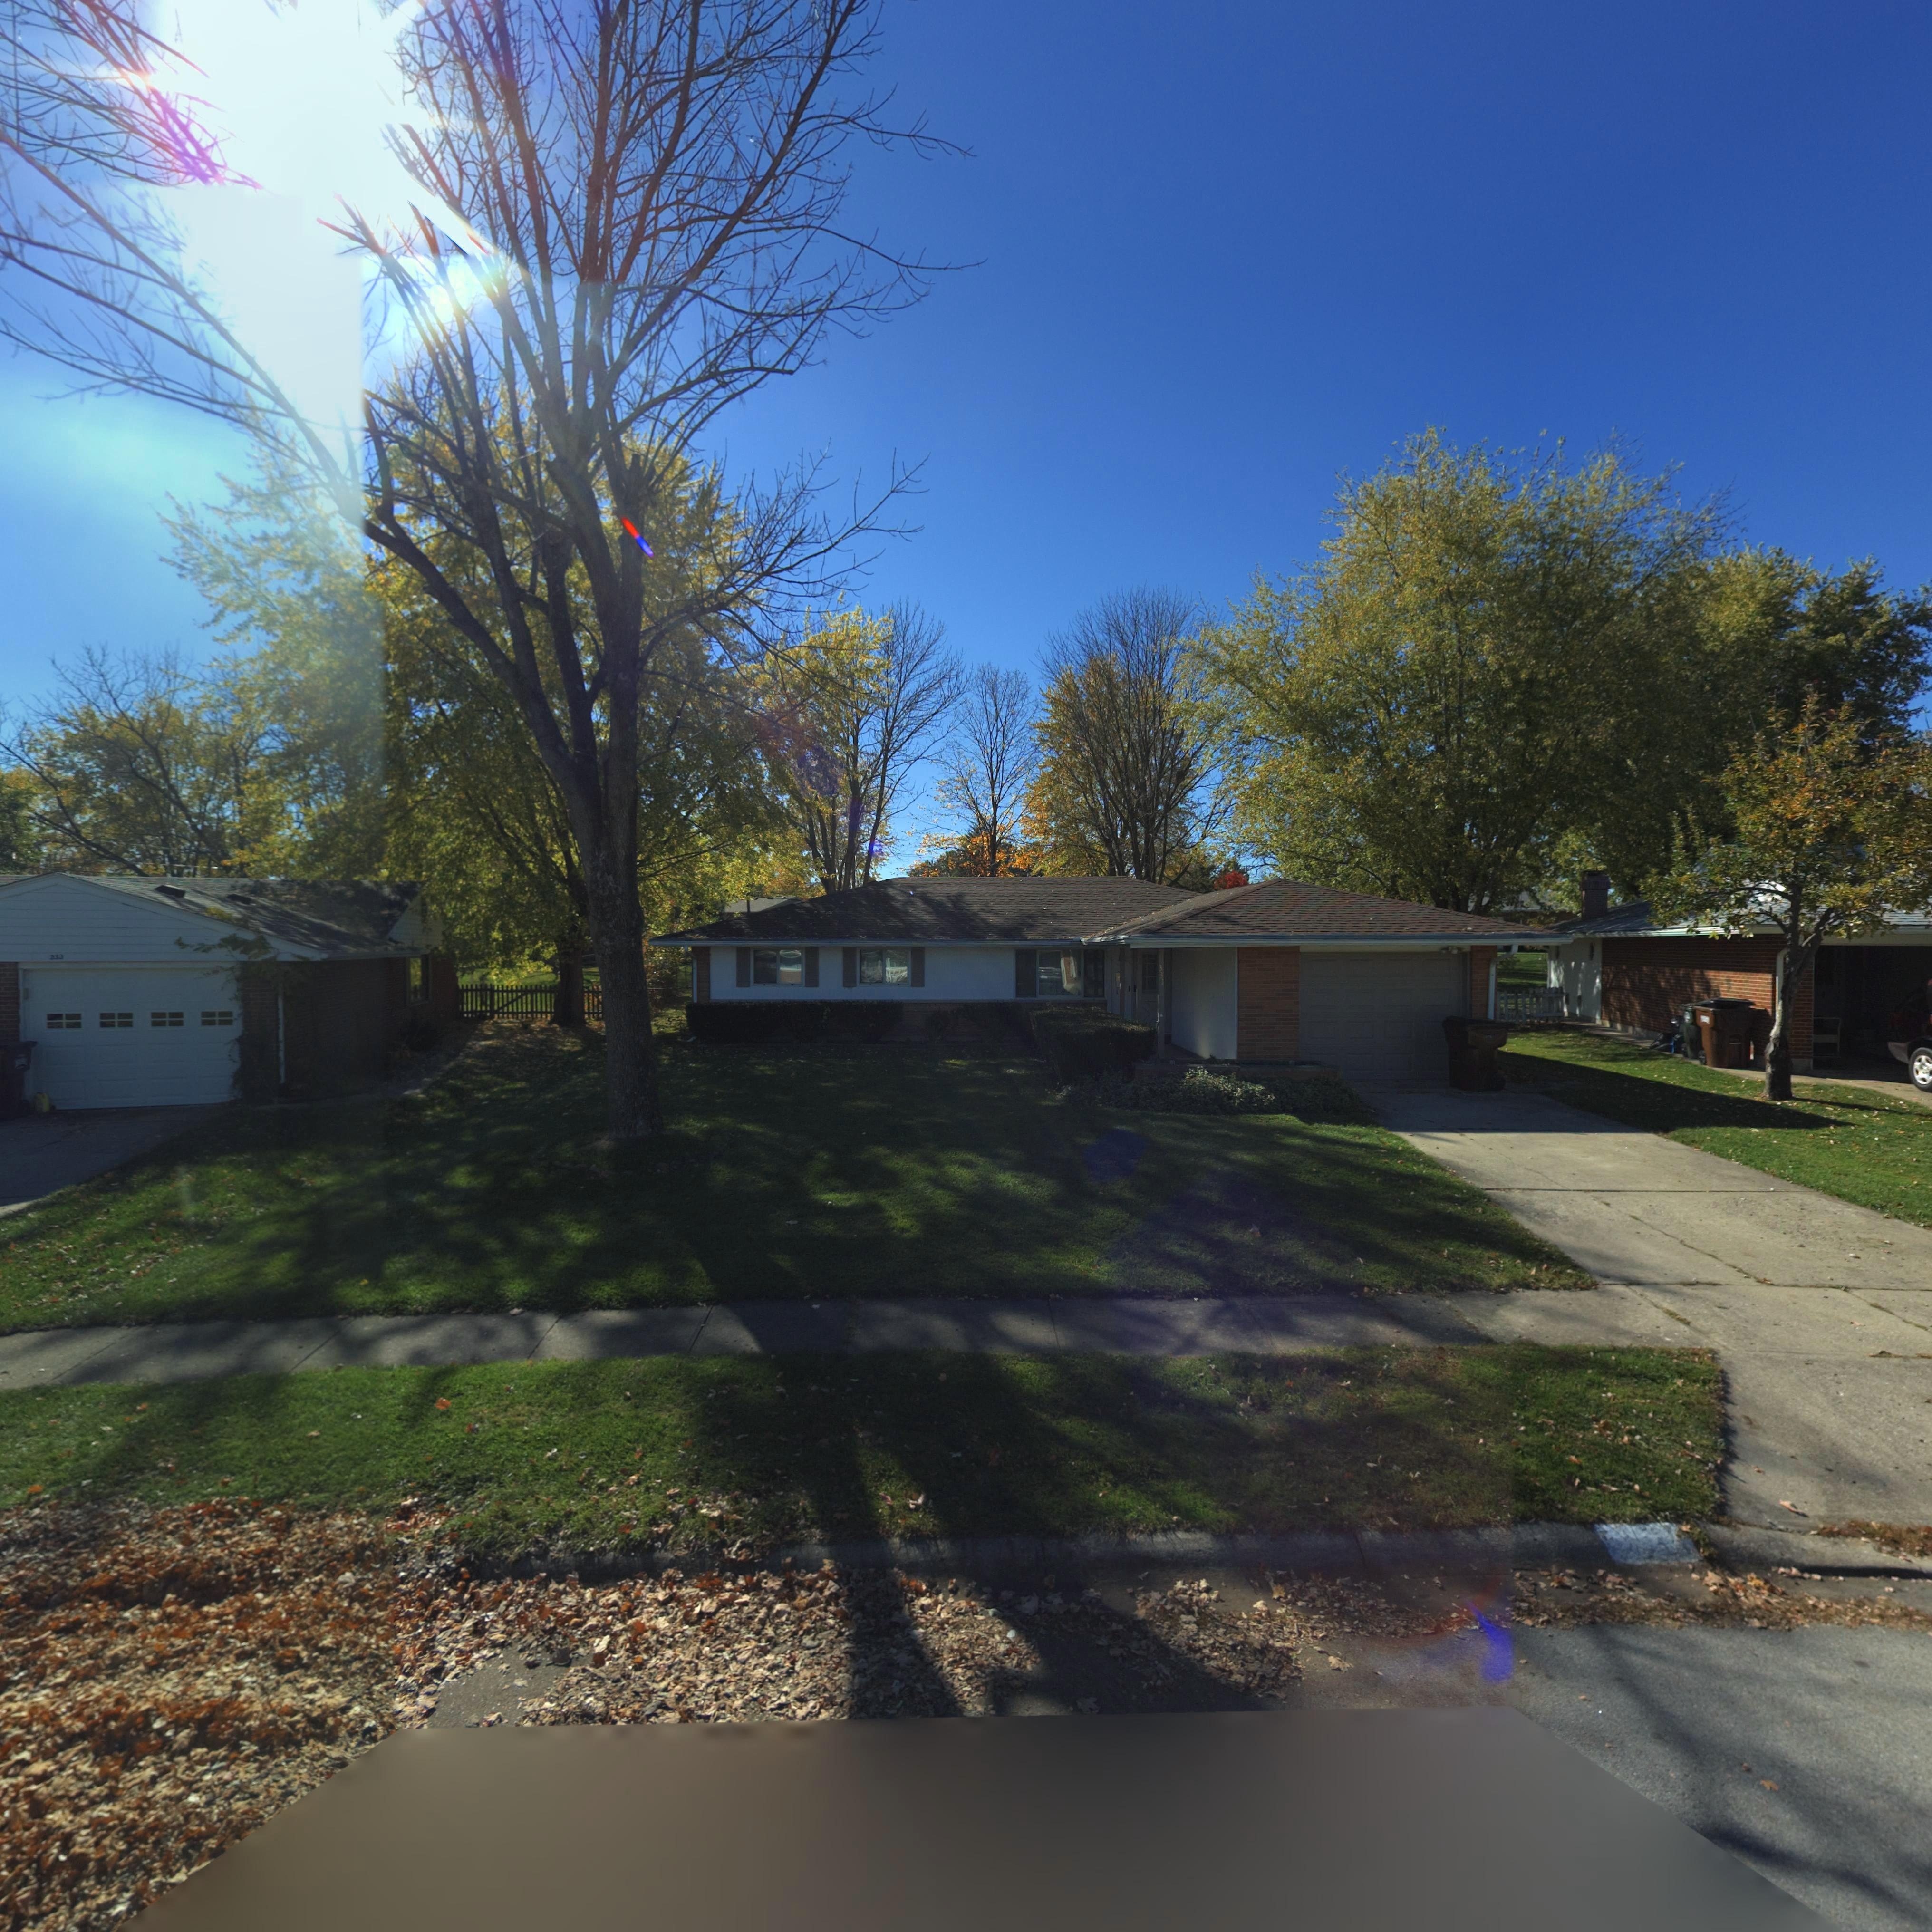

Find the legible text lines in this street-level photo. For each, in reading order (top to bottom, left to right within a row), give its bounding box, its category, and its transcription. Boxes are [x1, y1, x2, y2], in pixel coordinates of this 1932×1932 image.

[48, 953, 65, 962] StreetNumber: **3
[1158, 963, 1165, 986] StreetNumber: 331